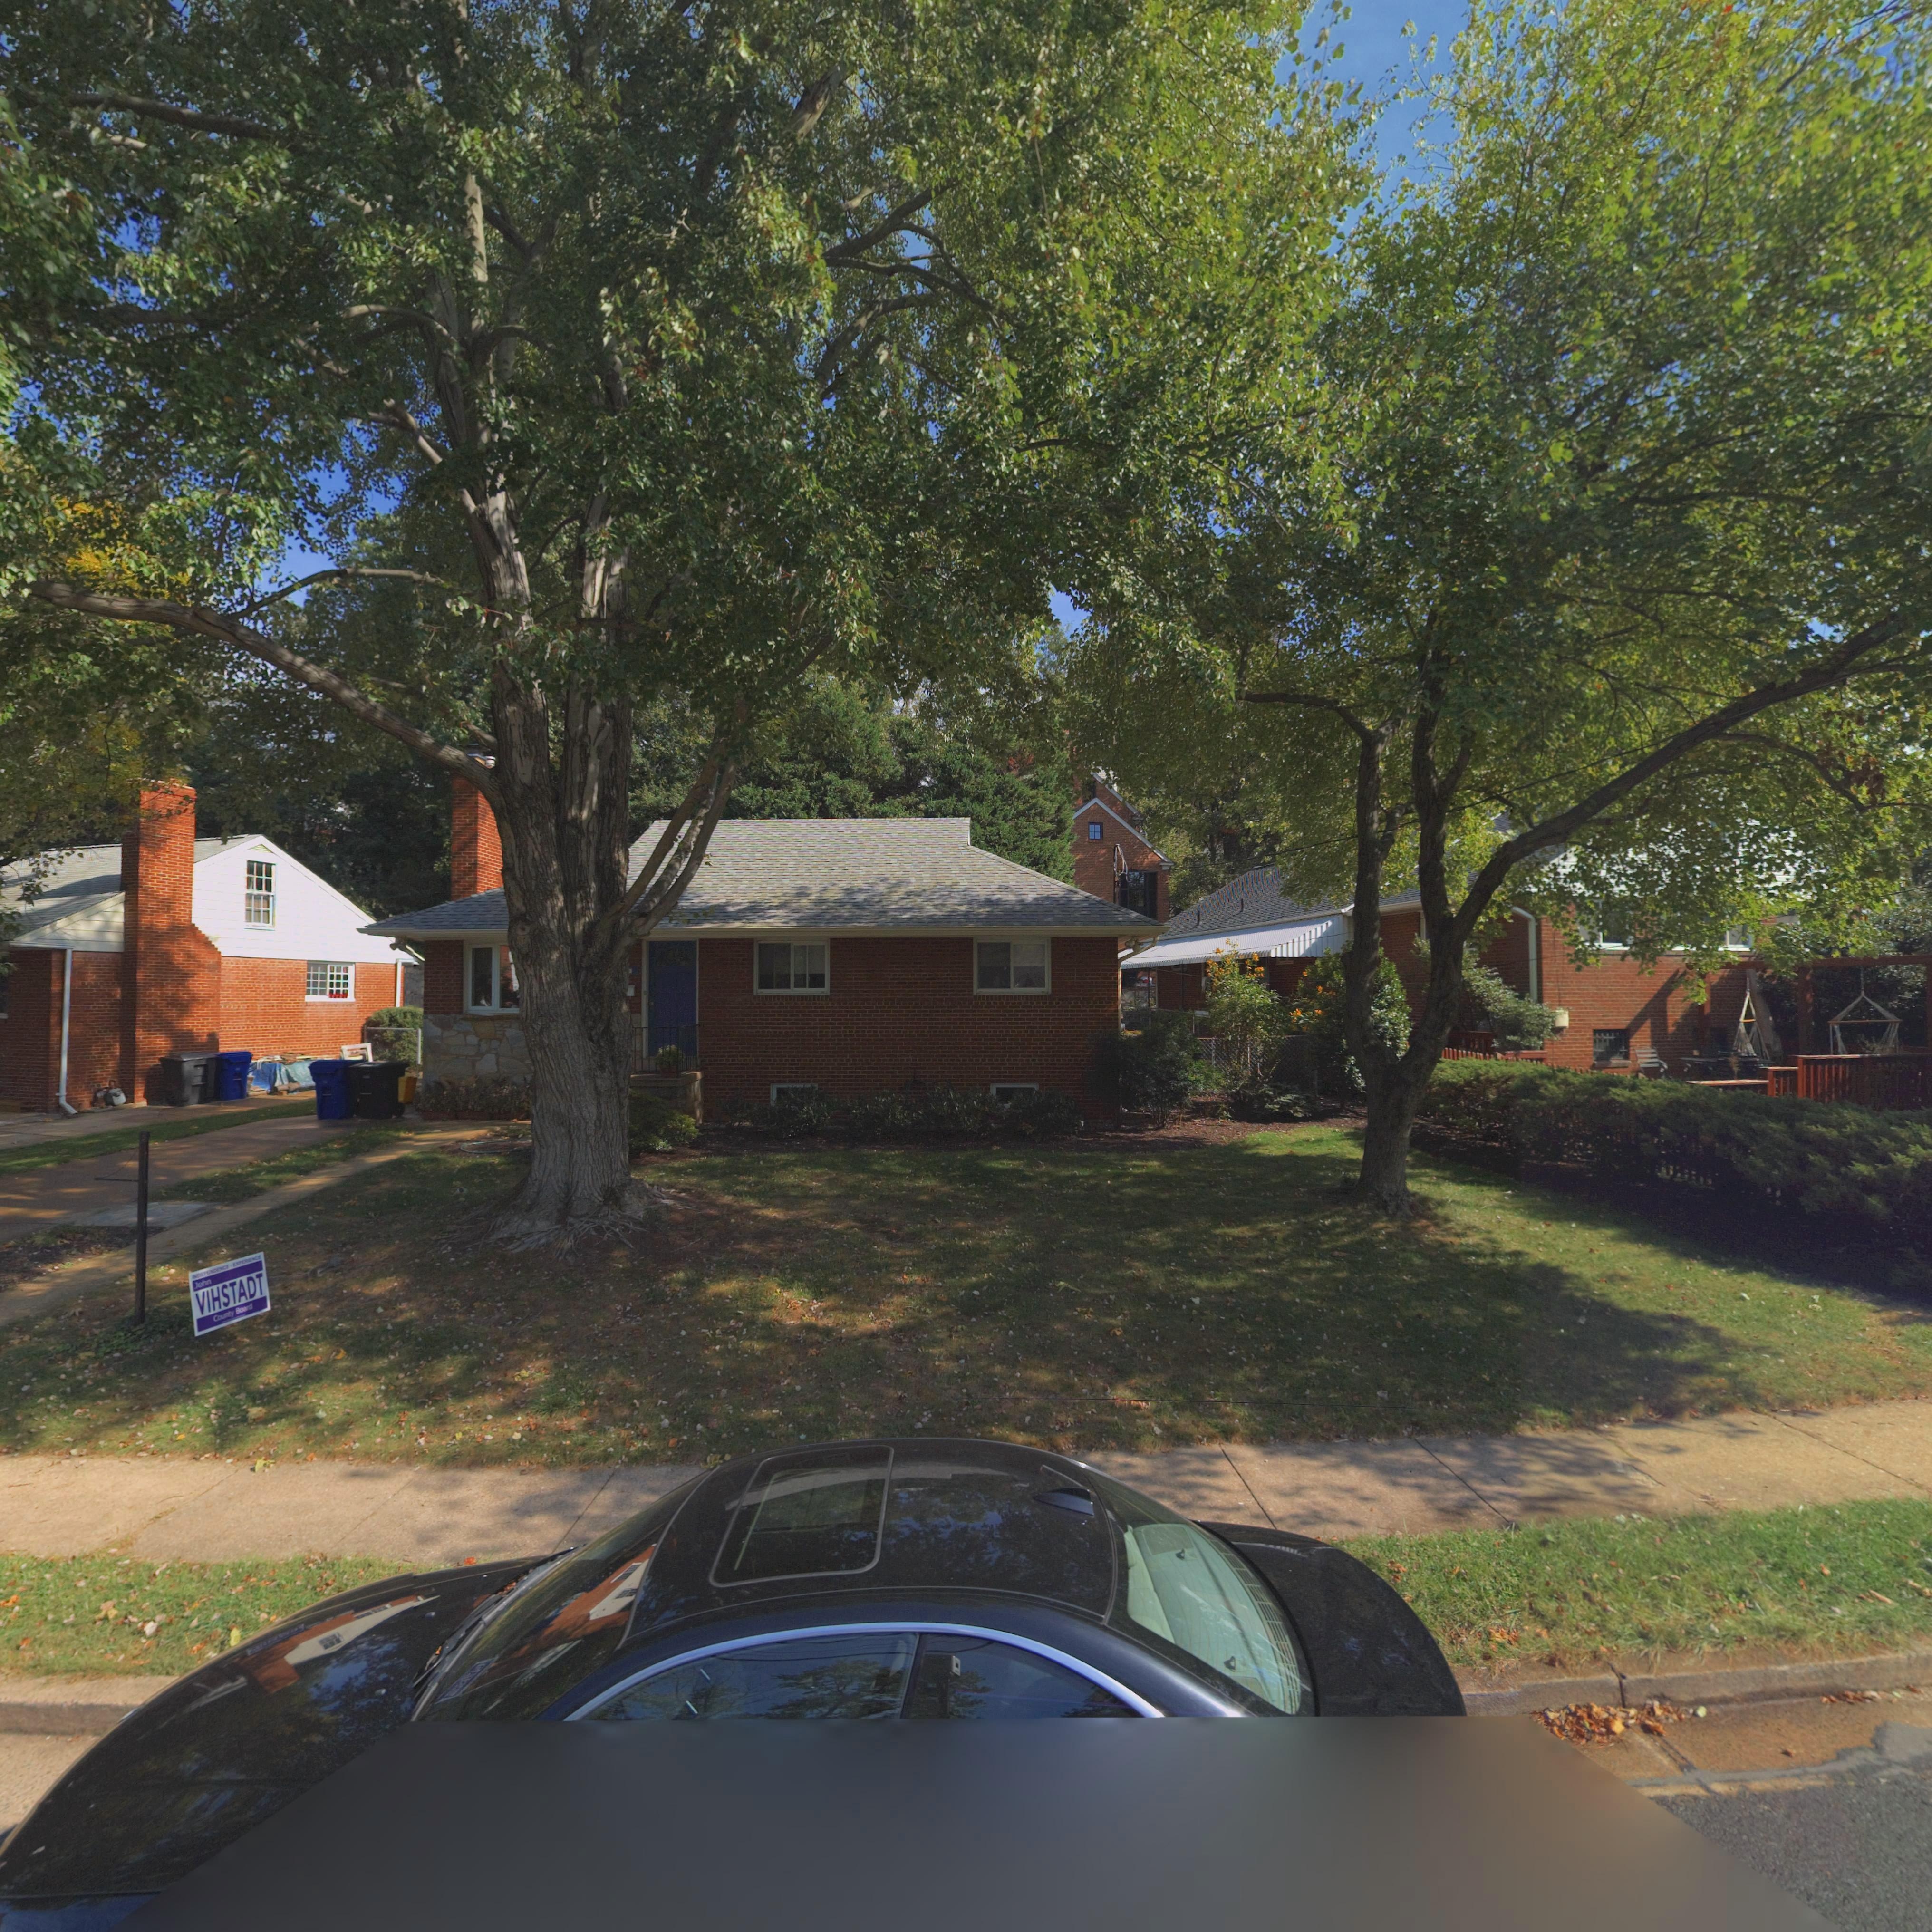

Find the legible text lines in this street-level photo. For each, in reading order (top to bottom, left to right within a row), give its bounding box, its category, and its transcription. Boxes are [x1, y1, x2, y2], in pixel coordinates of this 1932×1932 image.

[193, 1277, 213, 1291] None: John
[192, 1269, 265, 1318] None: VIHSTADT
[212, 1300, 254, 1323] None: County Board